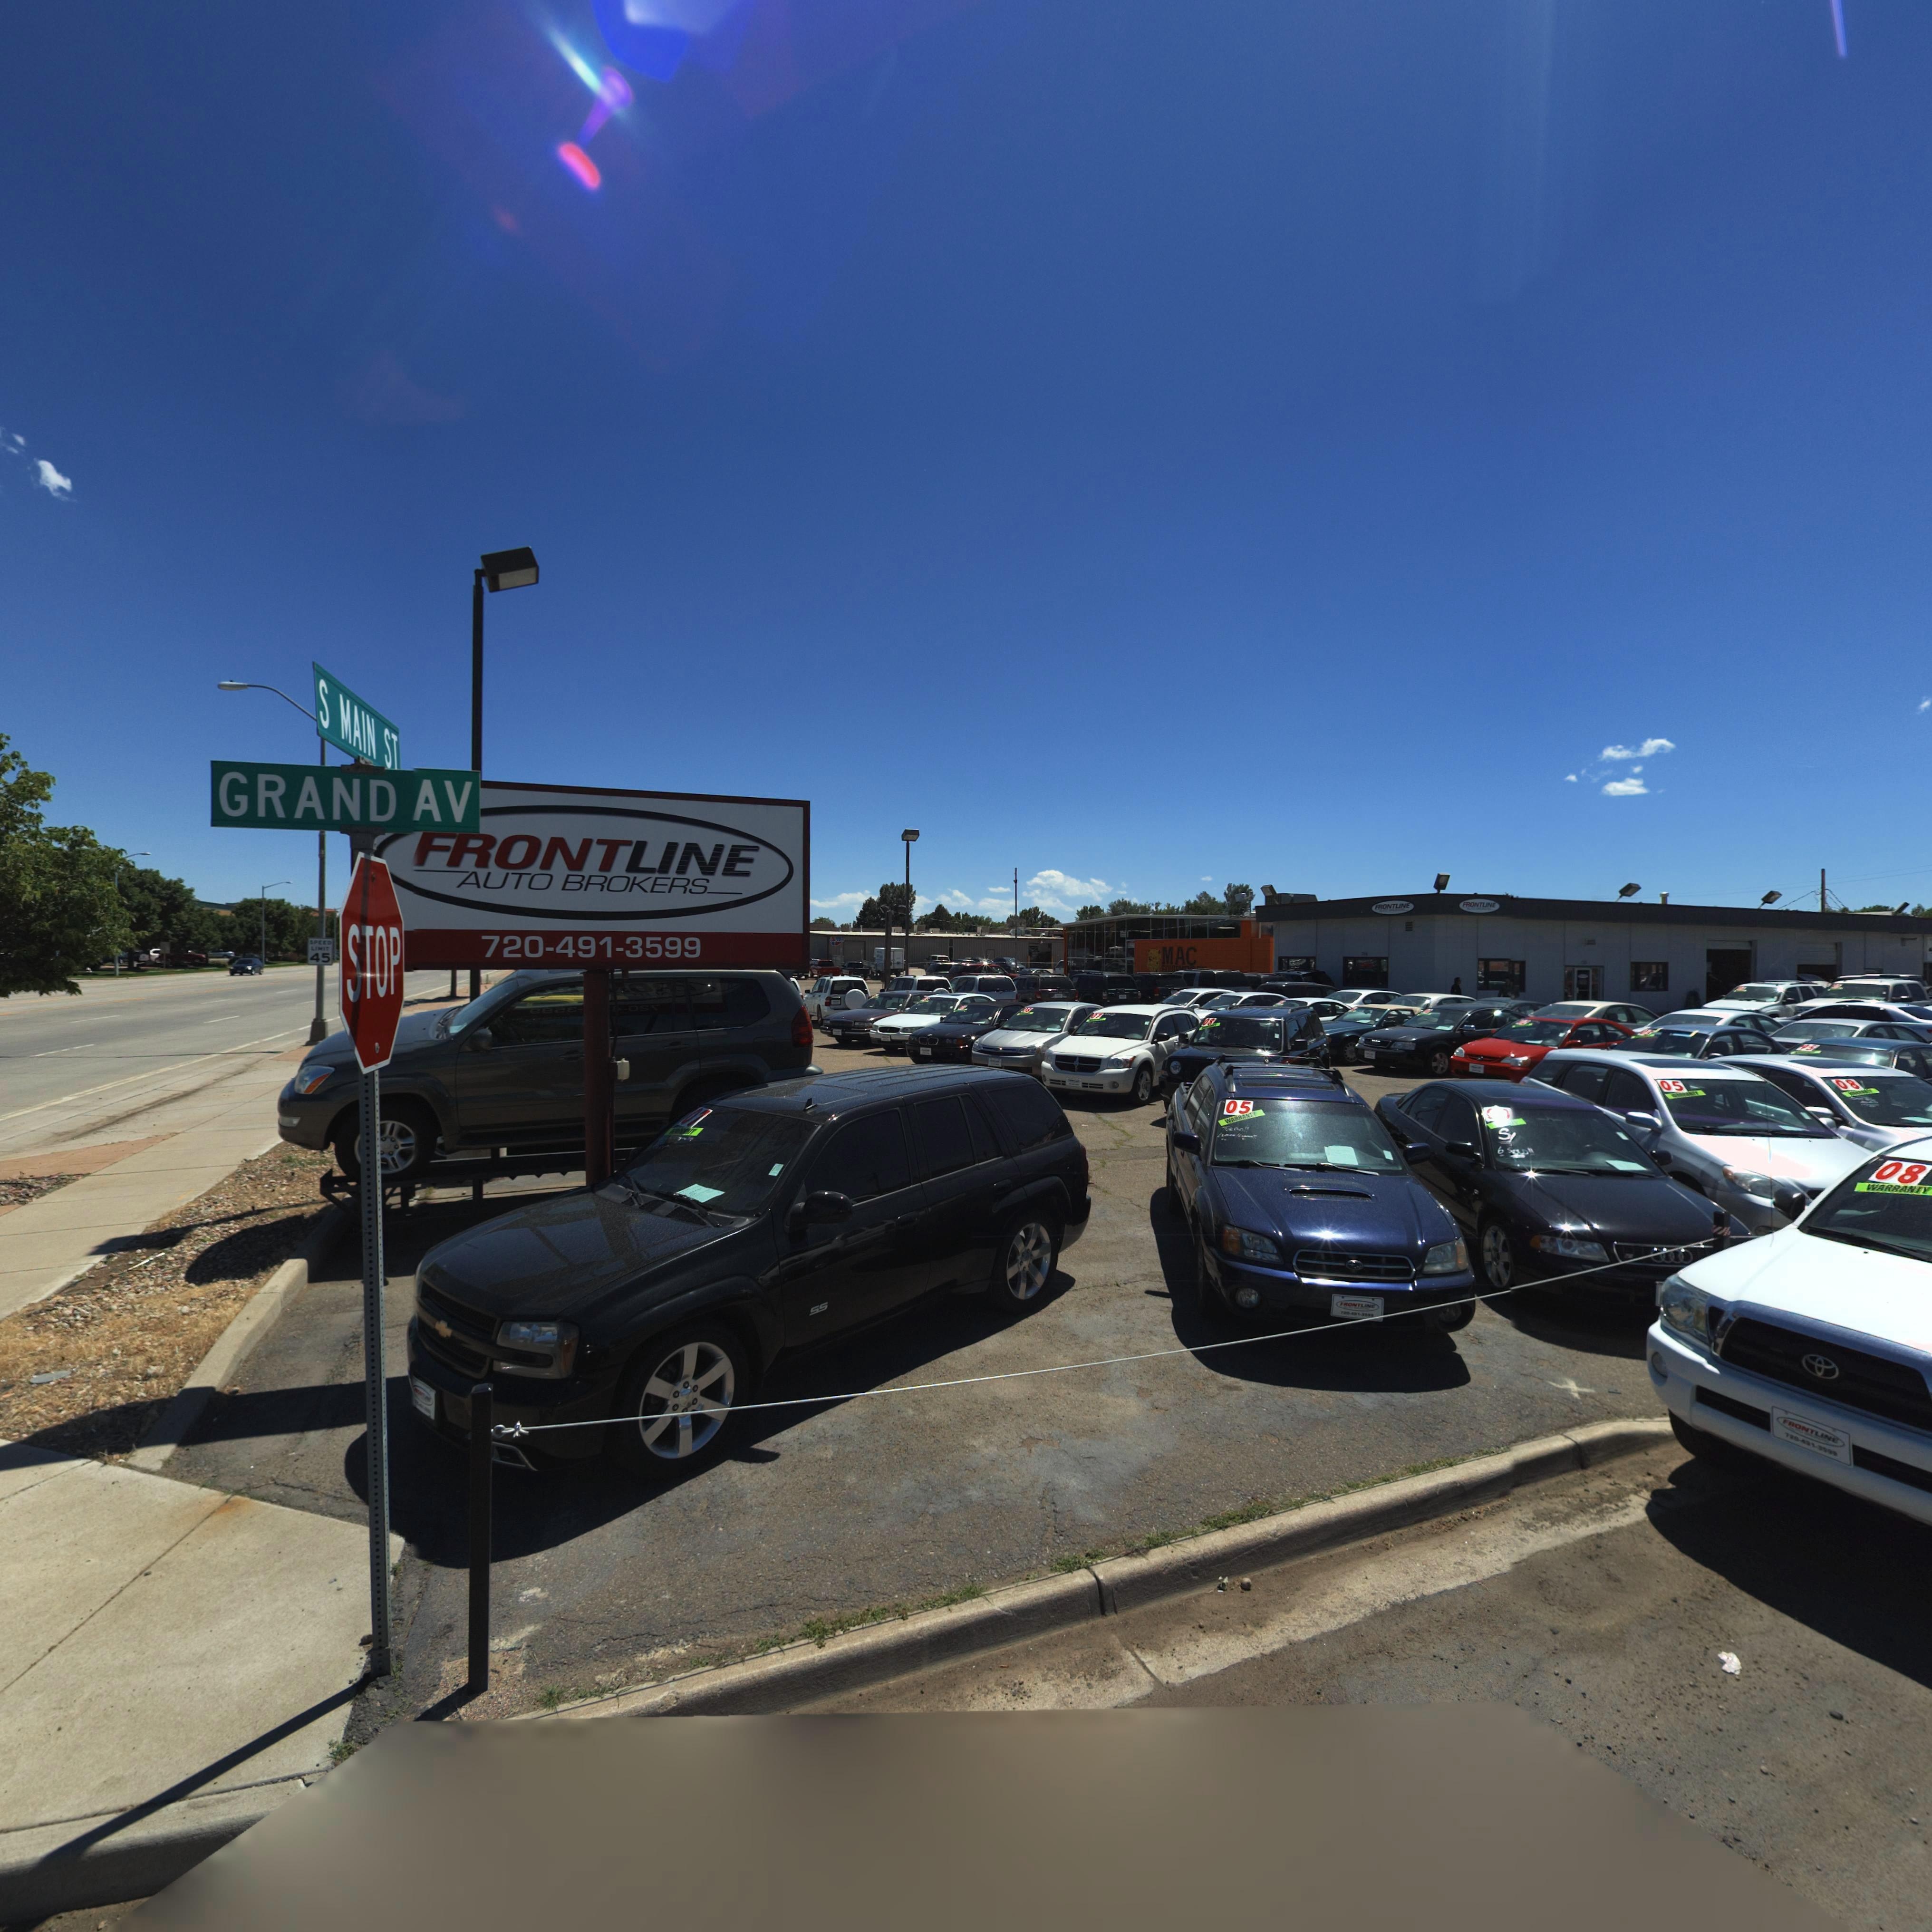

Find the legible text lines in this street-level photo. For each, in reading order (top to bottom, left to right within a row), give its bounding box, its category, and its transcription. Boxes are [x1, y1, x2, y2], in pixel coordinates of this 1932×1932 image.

[318, 675, 399, 770] StreetName: S MAIN ST
[216, 769, 475, 824] StreetName: GRAND AV
[407, 830, 762, 879] BusinessName: FRONTLINE
[453, 869, 712, 895] BusinessName: AUTO BROKERS
[1374, 902, 1410, 909] BusinessName: FRONTLINE
[1462, 901, 1497, 908] BusinessName: FRONTLINE
[1161, 946, 1197, 965] BusinessName: MAC